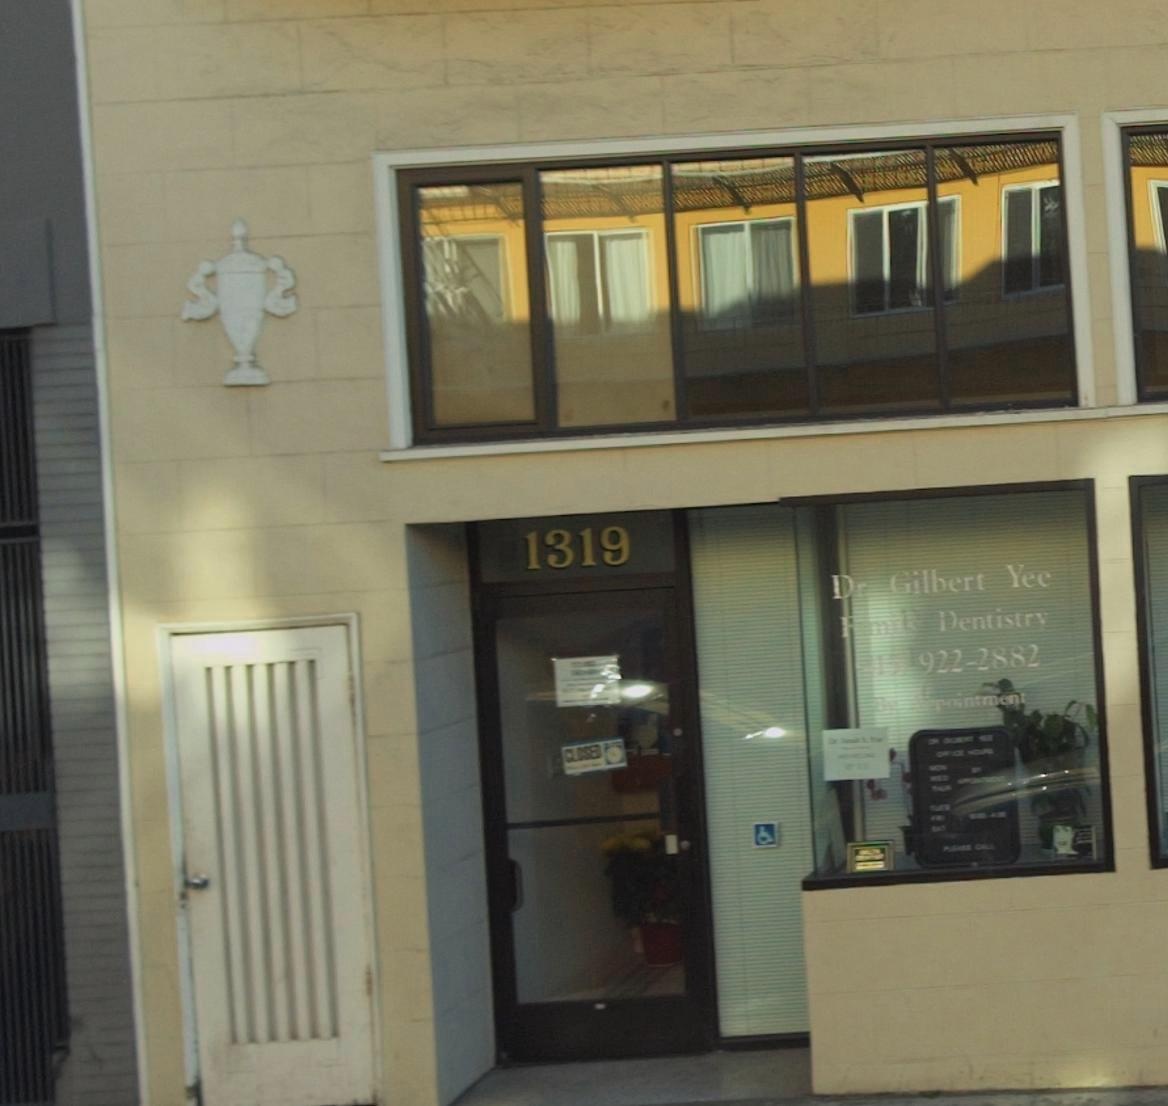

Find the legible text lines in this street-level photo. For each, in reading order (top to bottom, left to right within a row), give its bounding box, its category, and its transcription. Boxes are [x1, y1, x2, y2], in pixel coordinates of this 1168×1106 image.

[516, 523, 635, 574] StreetNumber: 1319
[830, 561, 1054, 604] BusinessName: Dr. Gilbert Yee
[836, 600, 1053, 643] BusinessName: Family Dentistry
[857, 640, 1050, 682] None: (415) 922-2882
[871, 687, 1029, 716] None: By Appointment
[560, 741, 605, 765] None: CLOSED